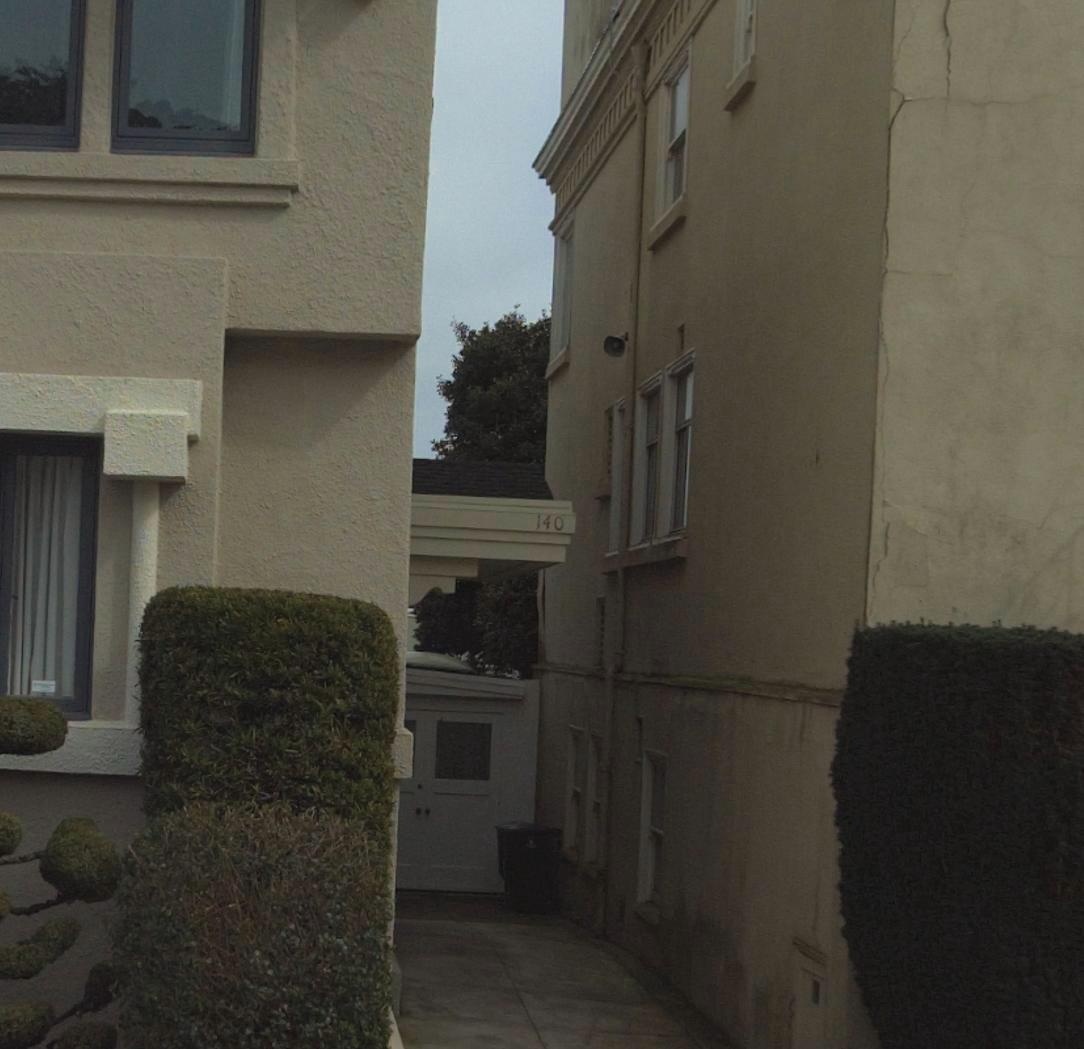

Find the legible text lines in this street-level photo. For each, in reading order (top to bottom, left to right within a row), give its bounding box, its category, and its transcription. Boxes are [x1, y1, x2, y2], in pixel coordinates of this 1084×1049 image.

[535, 513, 565, 532] StreetNumber: 140